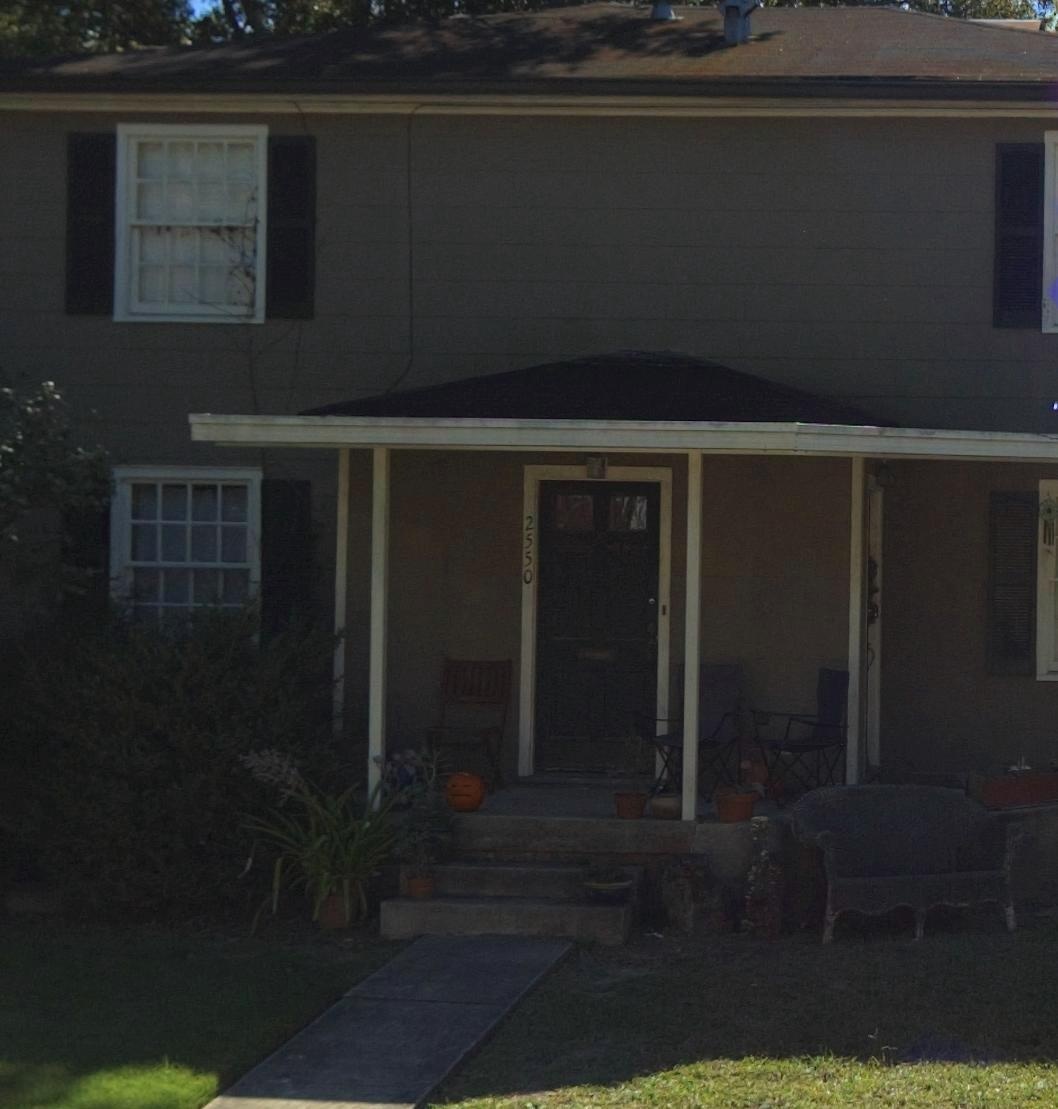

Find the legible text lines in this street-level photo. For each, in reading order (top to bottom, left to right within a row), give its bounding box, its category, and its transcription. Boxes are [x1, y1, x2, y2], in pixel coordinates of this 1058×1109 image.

[521, 514, 535, 586] StreetNumber: 2550